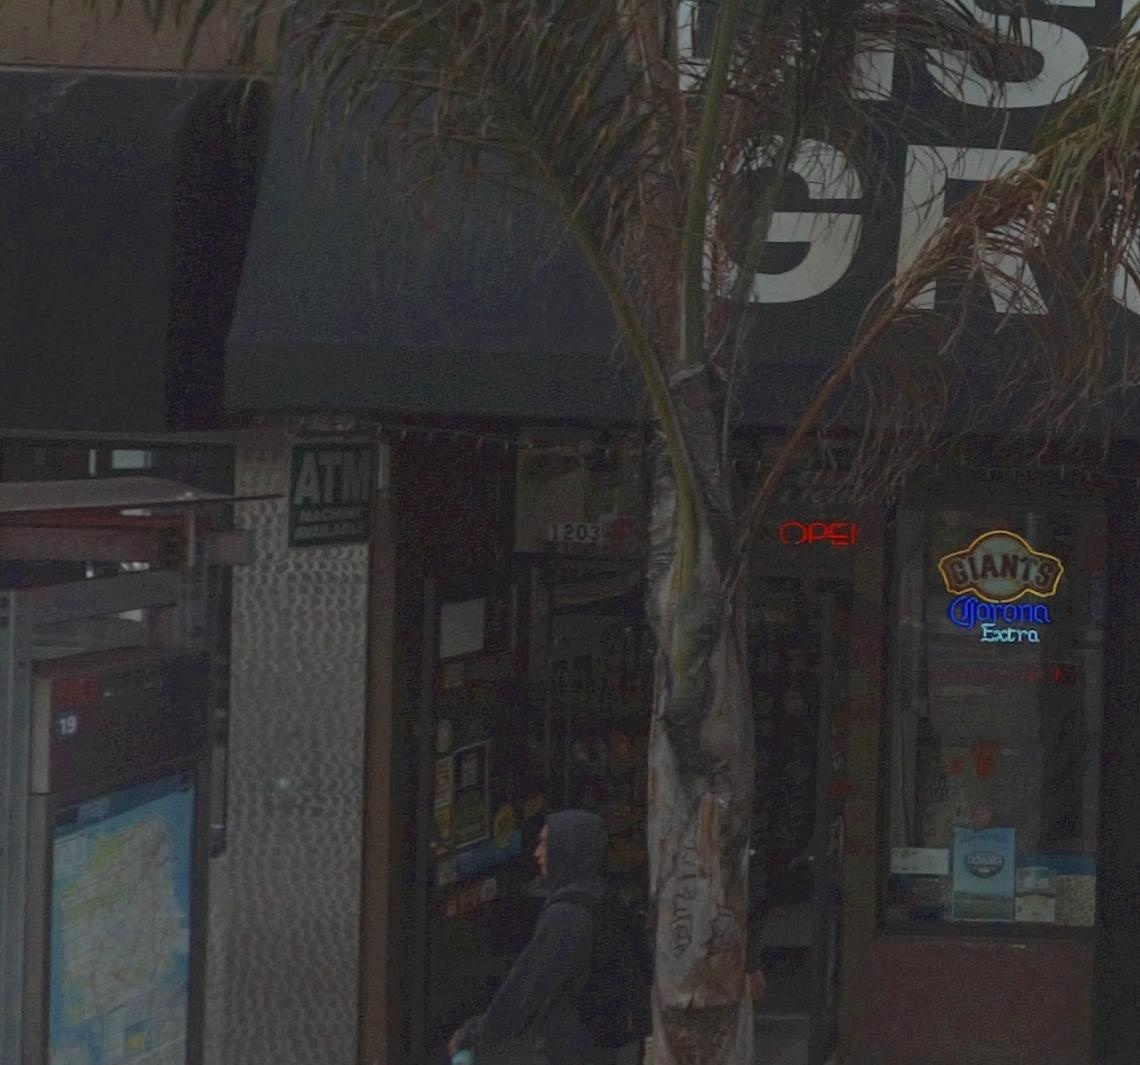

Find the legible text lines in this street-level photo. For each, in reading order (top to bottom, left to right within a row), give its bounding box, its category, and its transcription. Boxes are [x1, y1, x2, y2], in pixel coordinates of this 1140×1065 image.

[291, 448, 374, 507] None: ATM\
[296, 506, 364, 525] None: MACHINE
[293, 520, 367, 542] None: AVAILABLE
[551, 522, 602, 542] StreetNumber: 1203
[777, 521, 851, 547] None: OPE
[947, 552, 1057, 589] None: GIANTS
[947, 594, 1052, 630] None: Corona
[978, 622, 1042, 644] None: Extra
[58, 714, 77, 736] None: 19
[78, 796, 110, 822] None: map